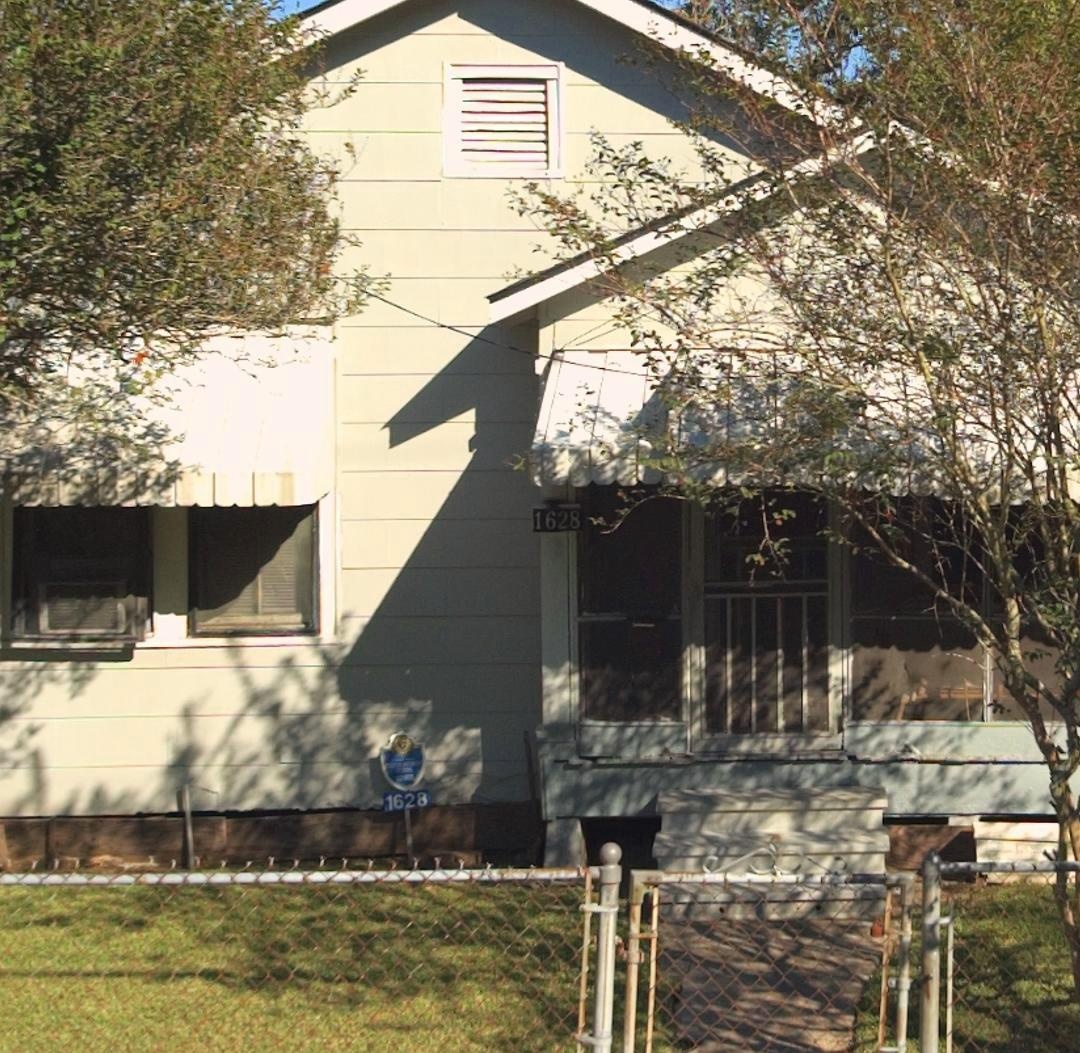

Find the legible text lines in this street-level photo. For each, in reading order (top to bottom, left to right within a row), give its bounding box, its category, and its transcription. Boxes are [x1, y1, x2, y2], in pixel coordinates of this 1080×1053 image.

[533, 509, 582, 531] StreetNumber: 1628
[384, 790, 429, 813] StreetNumber: 1628